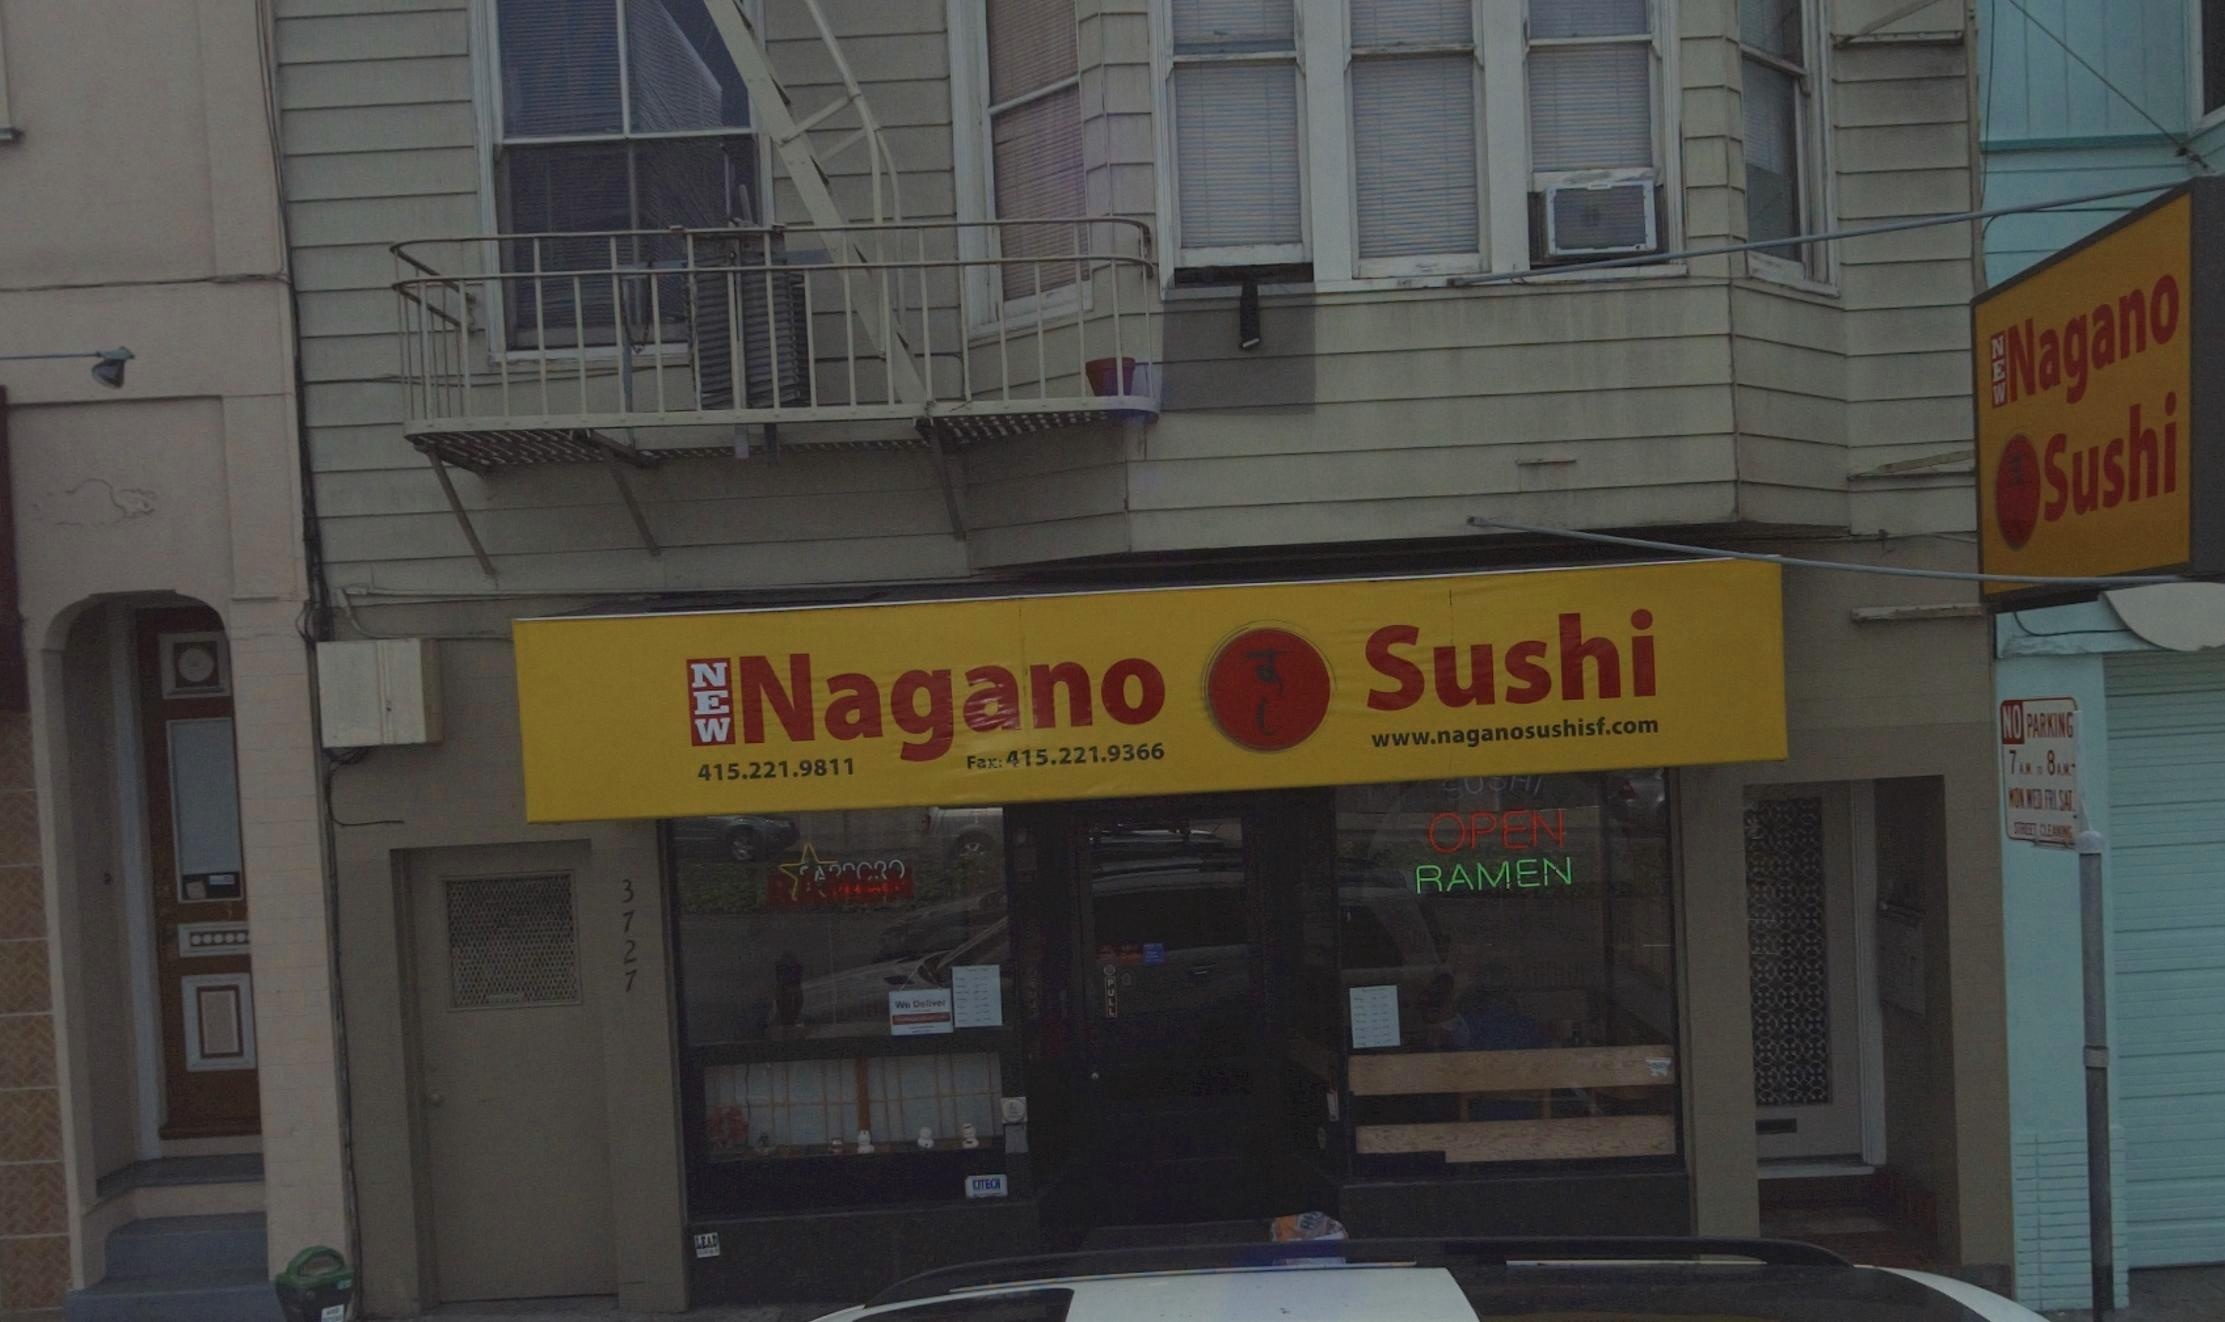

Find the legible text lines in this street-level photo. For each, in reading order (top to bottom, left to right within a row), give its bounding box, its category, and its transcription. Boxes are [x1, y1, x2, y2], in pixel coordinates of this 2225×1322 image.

[2005, 271, 2183, 407] BusinessName: Nagano
[1991, 332, 2007, 408] BusinessName: NEW
[2042, 385, 2181, 526] BusinessName: Sushi
[689, 659, 732, 745] BusinessName: NEW
[737, 604, 1659, 764] BusinessName: Nagano * Sushi
[1366, 713, 1661, 749] None: www.naganosushisf.com
[2001, 702, 2076, 741] None: NO PARKING
[694, 755, 855, 783] None: 415.221.9811
[964, 739, 1167, 772] None: Fax: 415.221.9366
[2006, 746, 2074, 779] None: 7AM TO 8AM
[2005, 785, 2075, 814] None: MON WED FRI SAT
[1424, 800, 1568, 859] None: OPEN
[2009, 819, 2075, 842] None: STREET CLEANING
[1413, 852, 1575, 900] None: RAMEN
[618, 875, 639, 1002] StreetNumber: 3727
[891, 996, 947, 1011] None: We Deliver
[1105, 976, 1117, 1019] None: PULL
[970, 1176, 1003, 1193] None: CITECH
[693, 1230, 720, 1253] None: LEAD